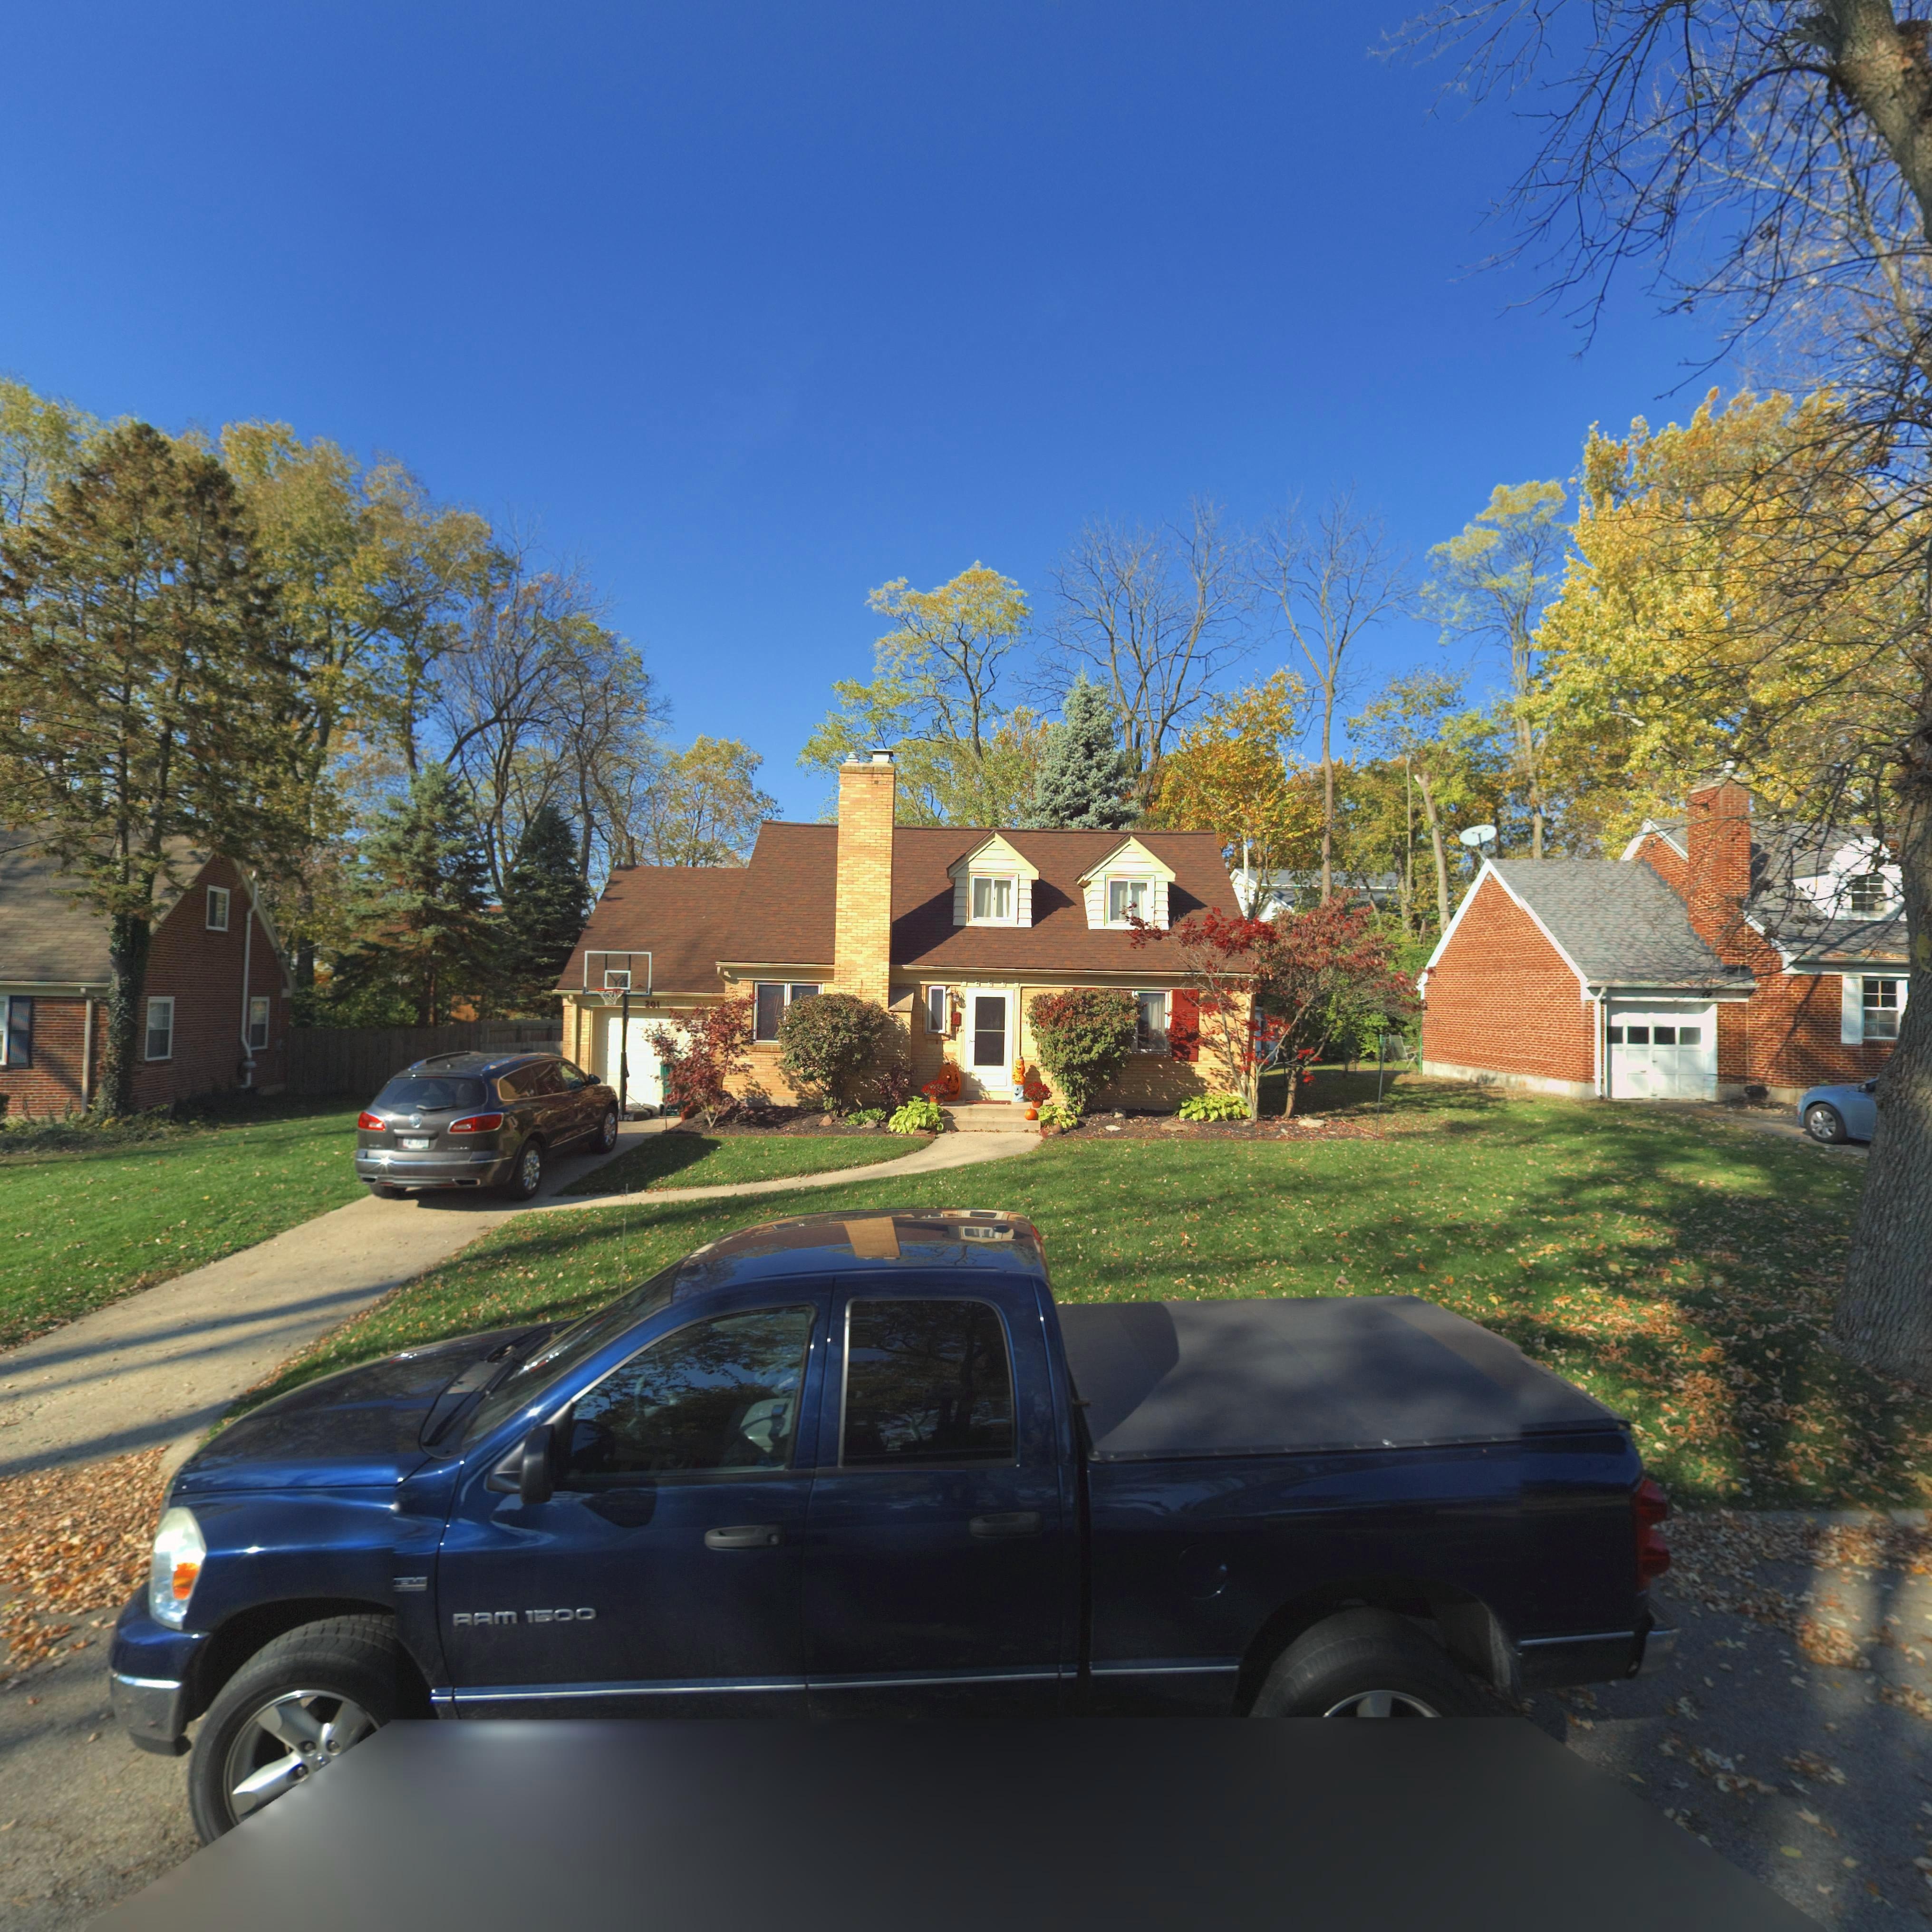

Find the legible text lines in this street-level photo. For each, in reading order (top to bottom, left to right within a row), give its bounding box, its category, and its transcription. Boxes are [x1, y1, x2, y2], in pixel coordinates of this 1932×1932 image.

[644, 999, 661, 1009] StreetNumber: 201